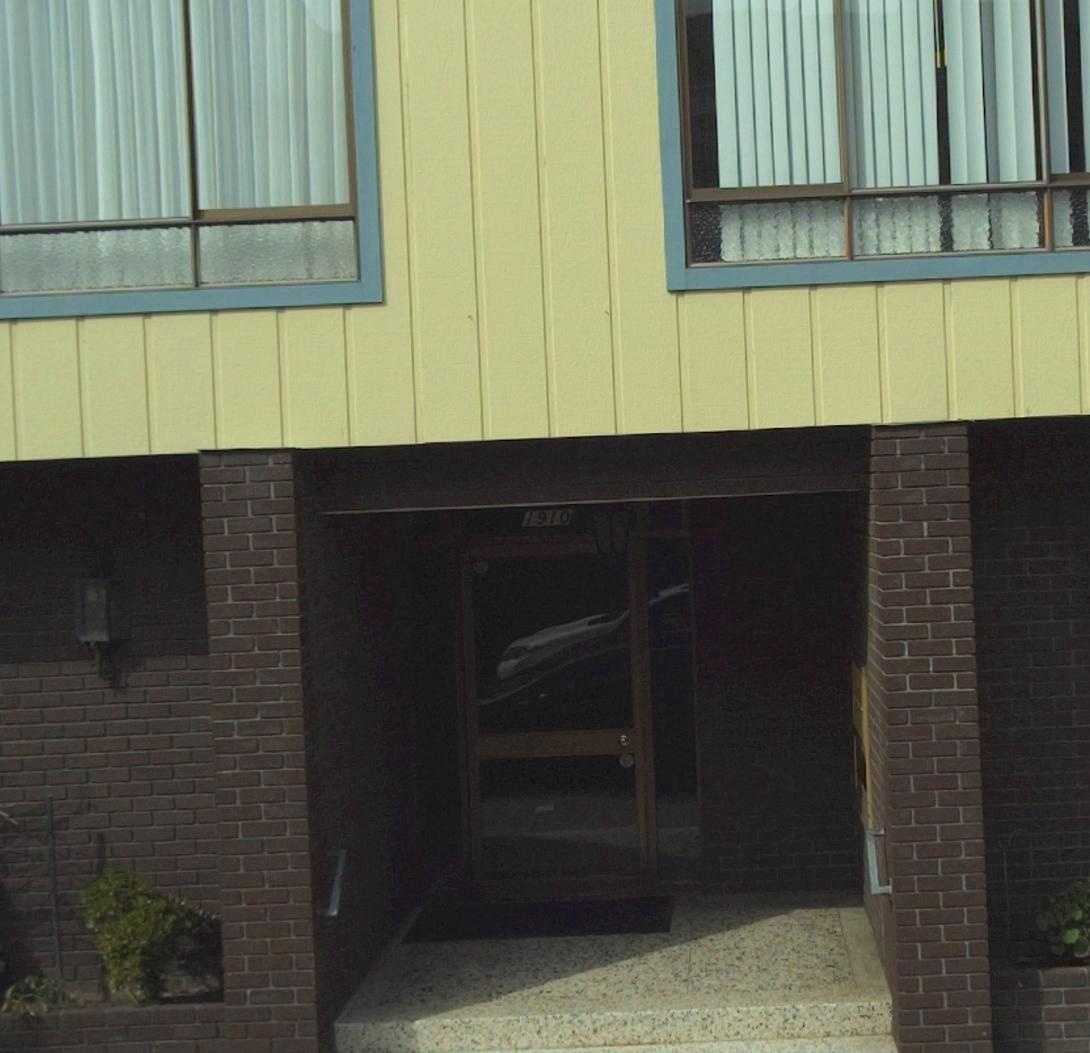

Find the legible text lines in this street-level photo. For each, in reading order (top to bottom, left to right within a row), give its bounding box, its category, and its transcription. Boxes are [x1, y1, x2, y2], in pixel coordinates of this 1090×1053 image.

[522, 509, 572, 527] StreetNumber: 1910